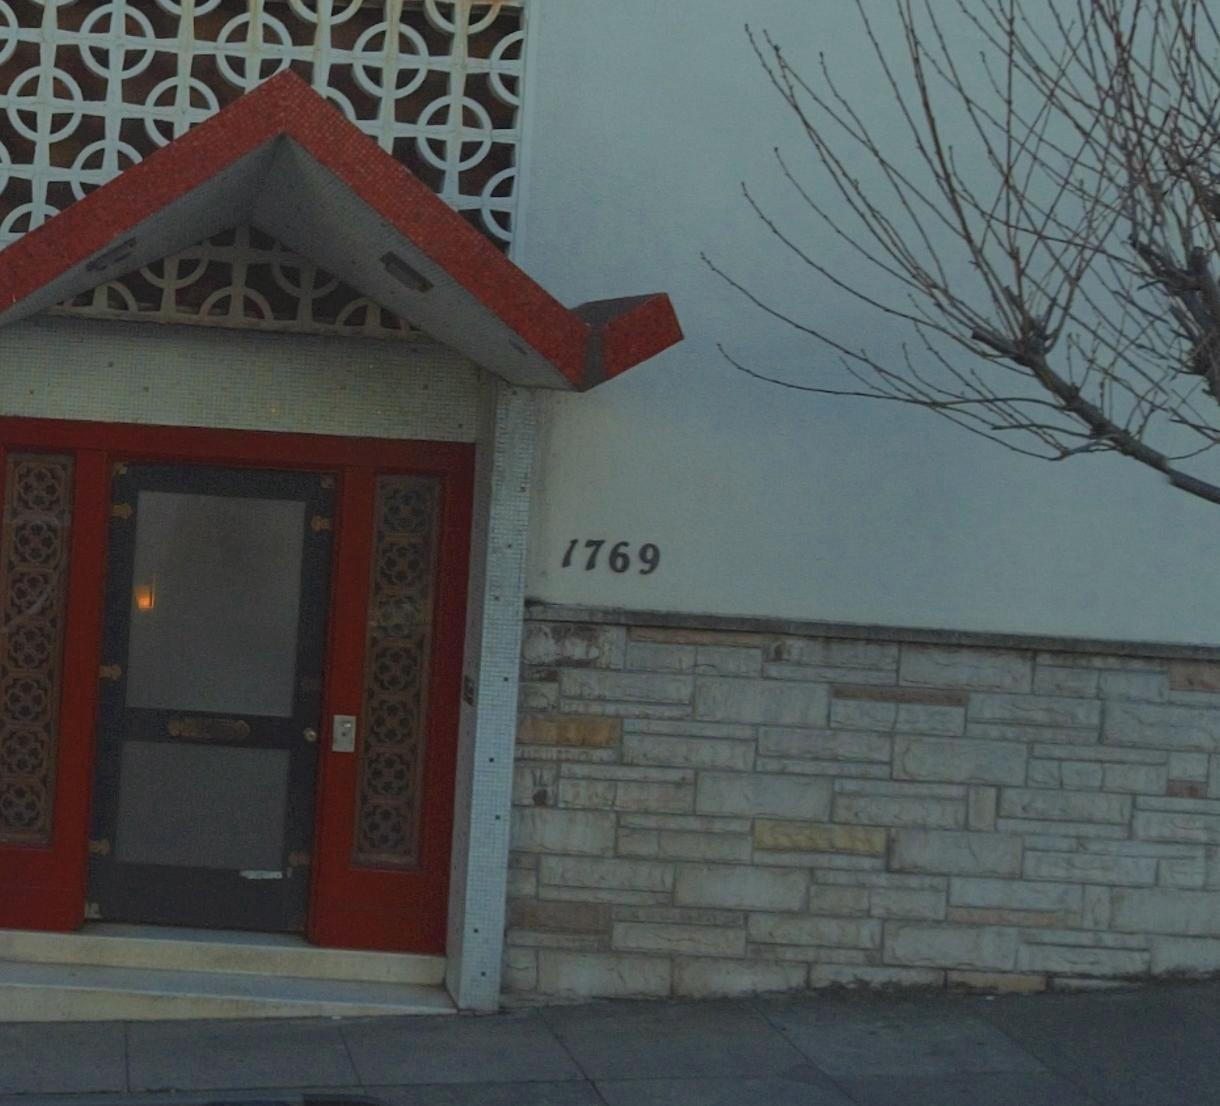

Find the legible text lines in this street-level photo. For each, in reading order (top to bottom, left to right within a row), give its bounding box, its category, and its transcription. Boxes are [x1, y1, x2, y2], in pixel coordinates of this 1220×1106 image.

[557, 534, 668, 577] StreetNumber: 1769